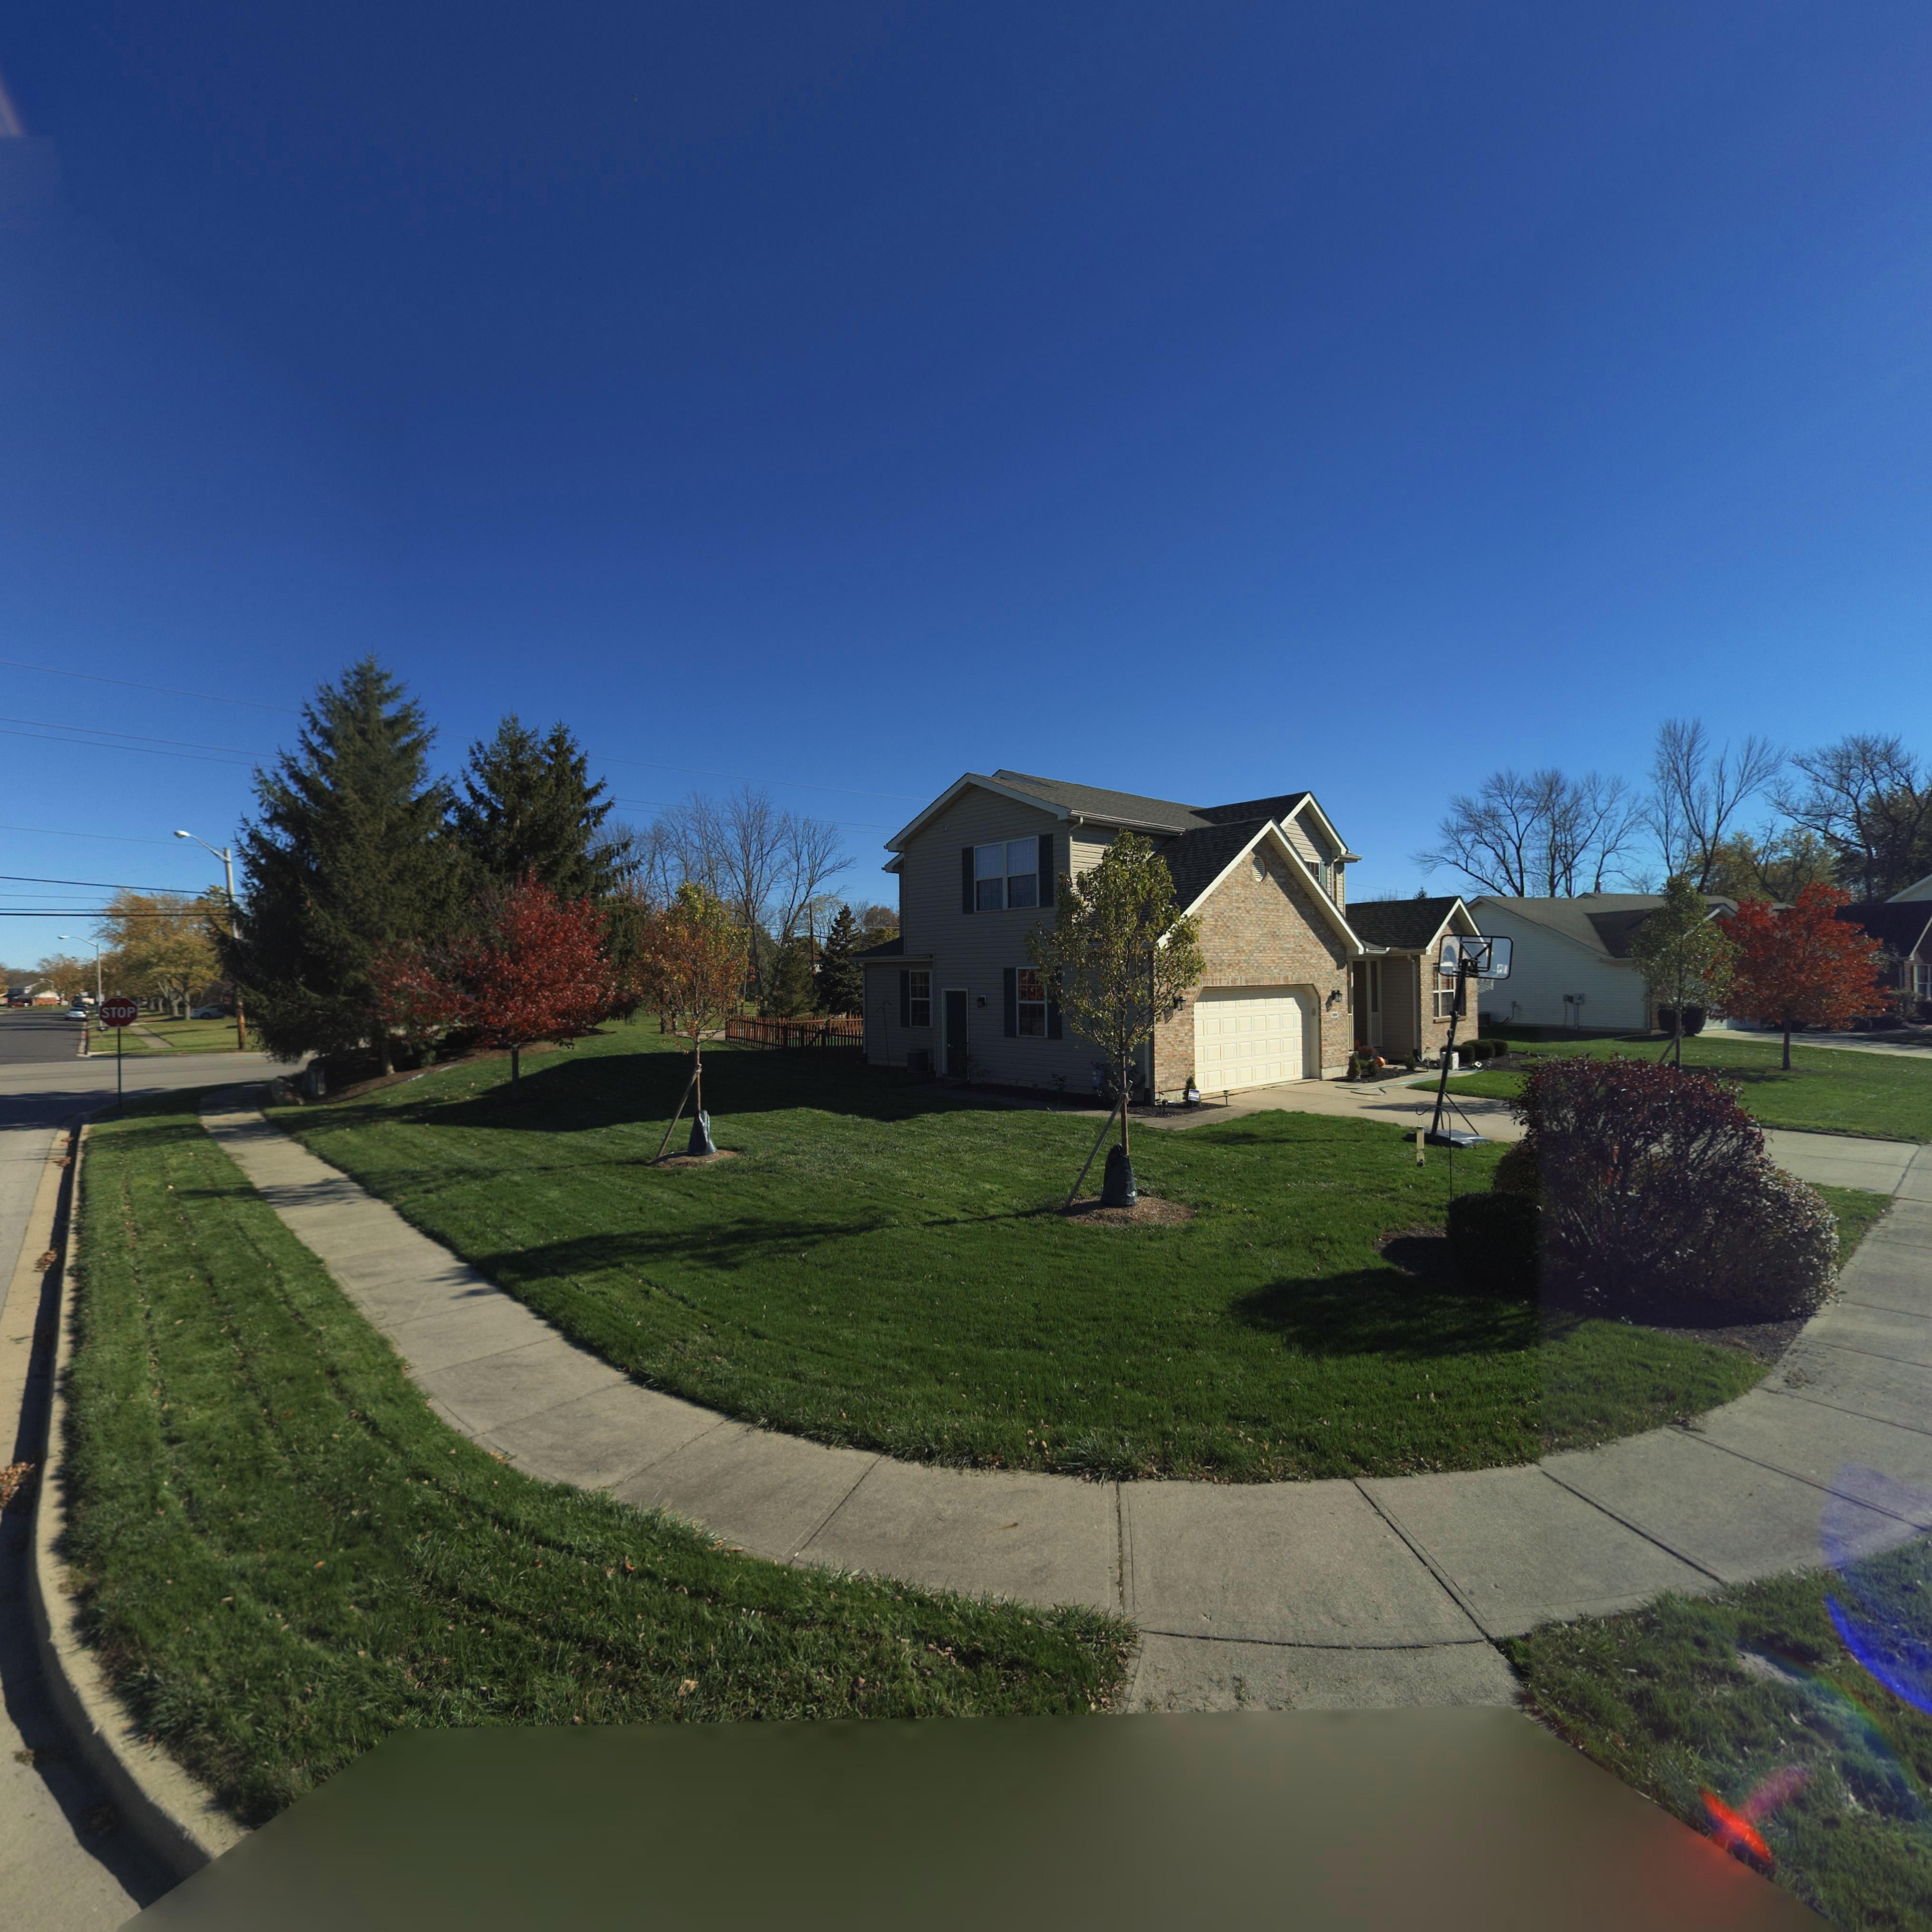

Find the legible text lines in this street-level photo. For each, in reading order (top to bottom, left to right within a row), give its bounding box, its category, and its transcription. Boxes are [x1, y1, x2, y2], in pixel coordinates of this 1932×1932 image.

[1332, 1013, 1337, 1017] StreetNumber: 1***